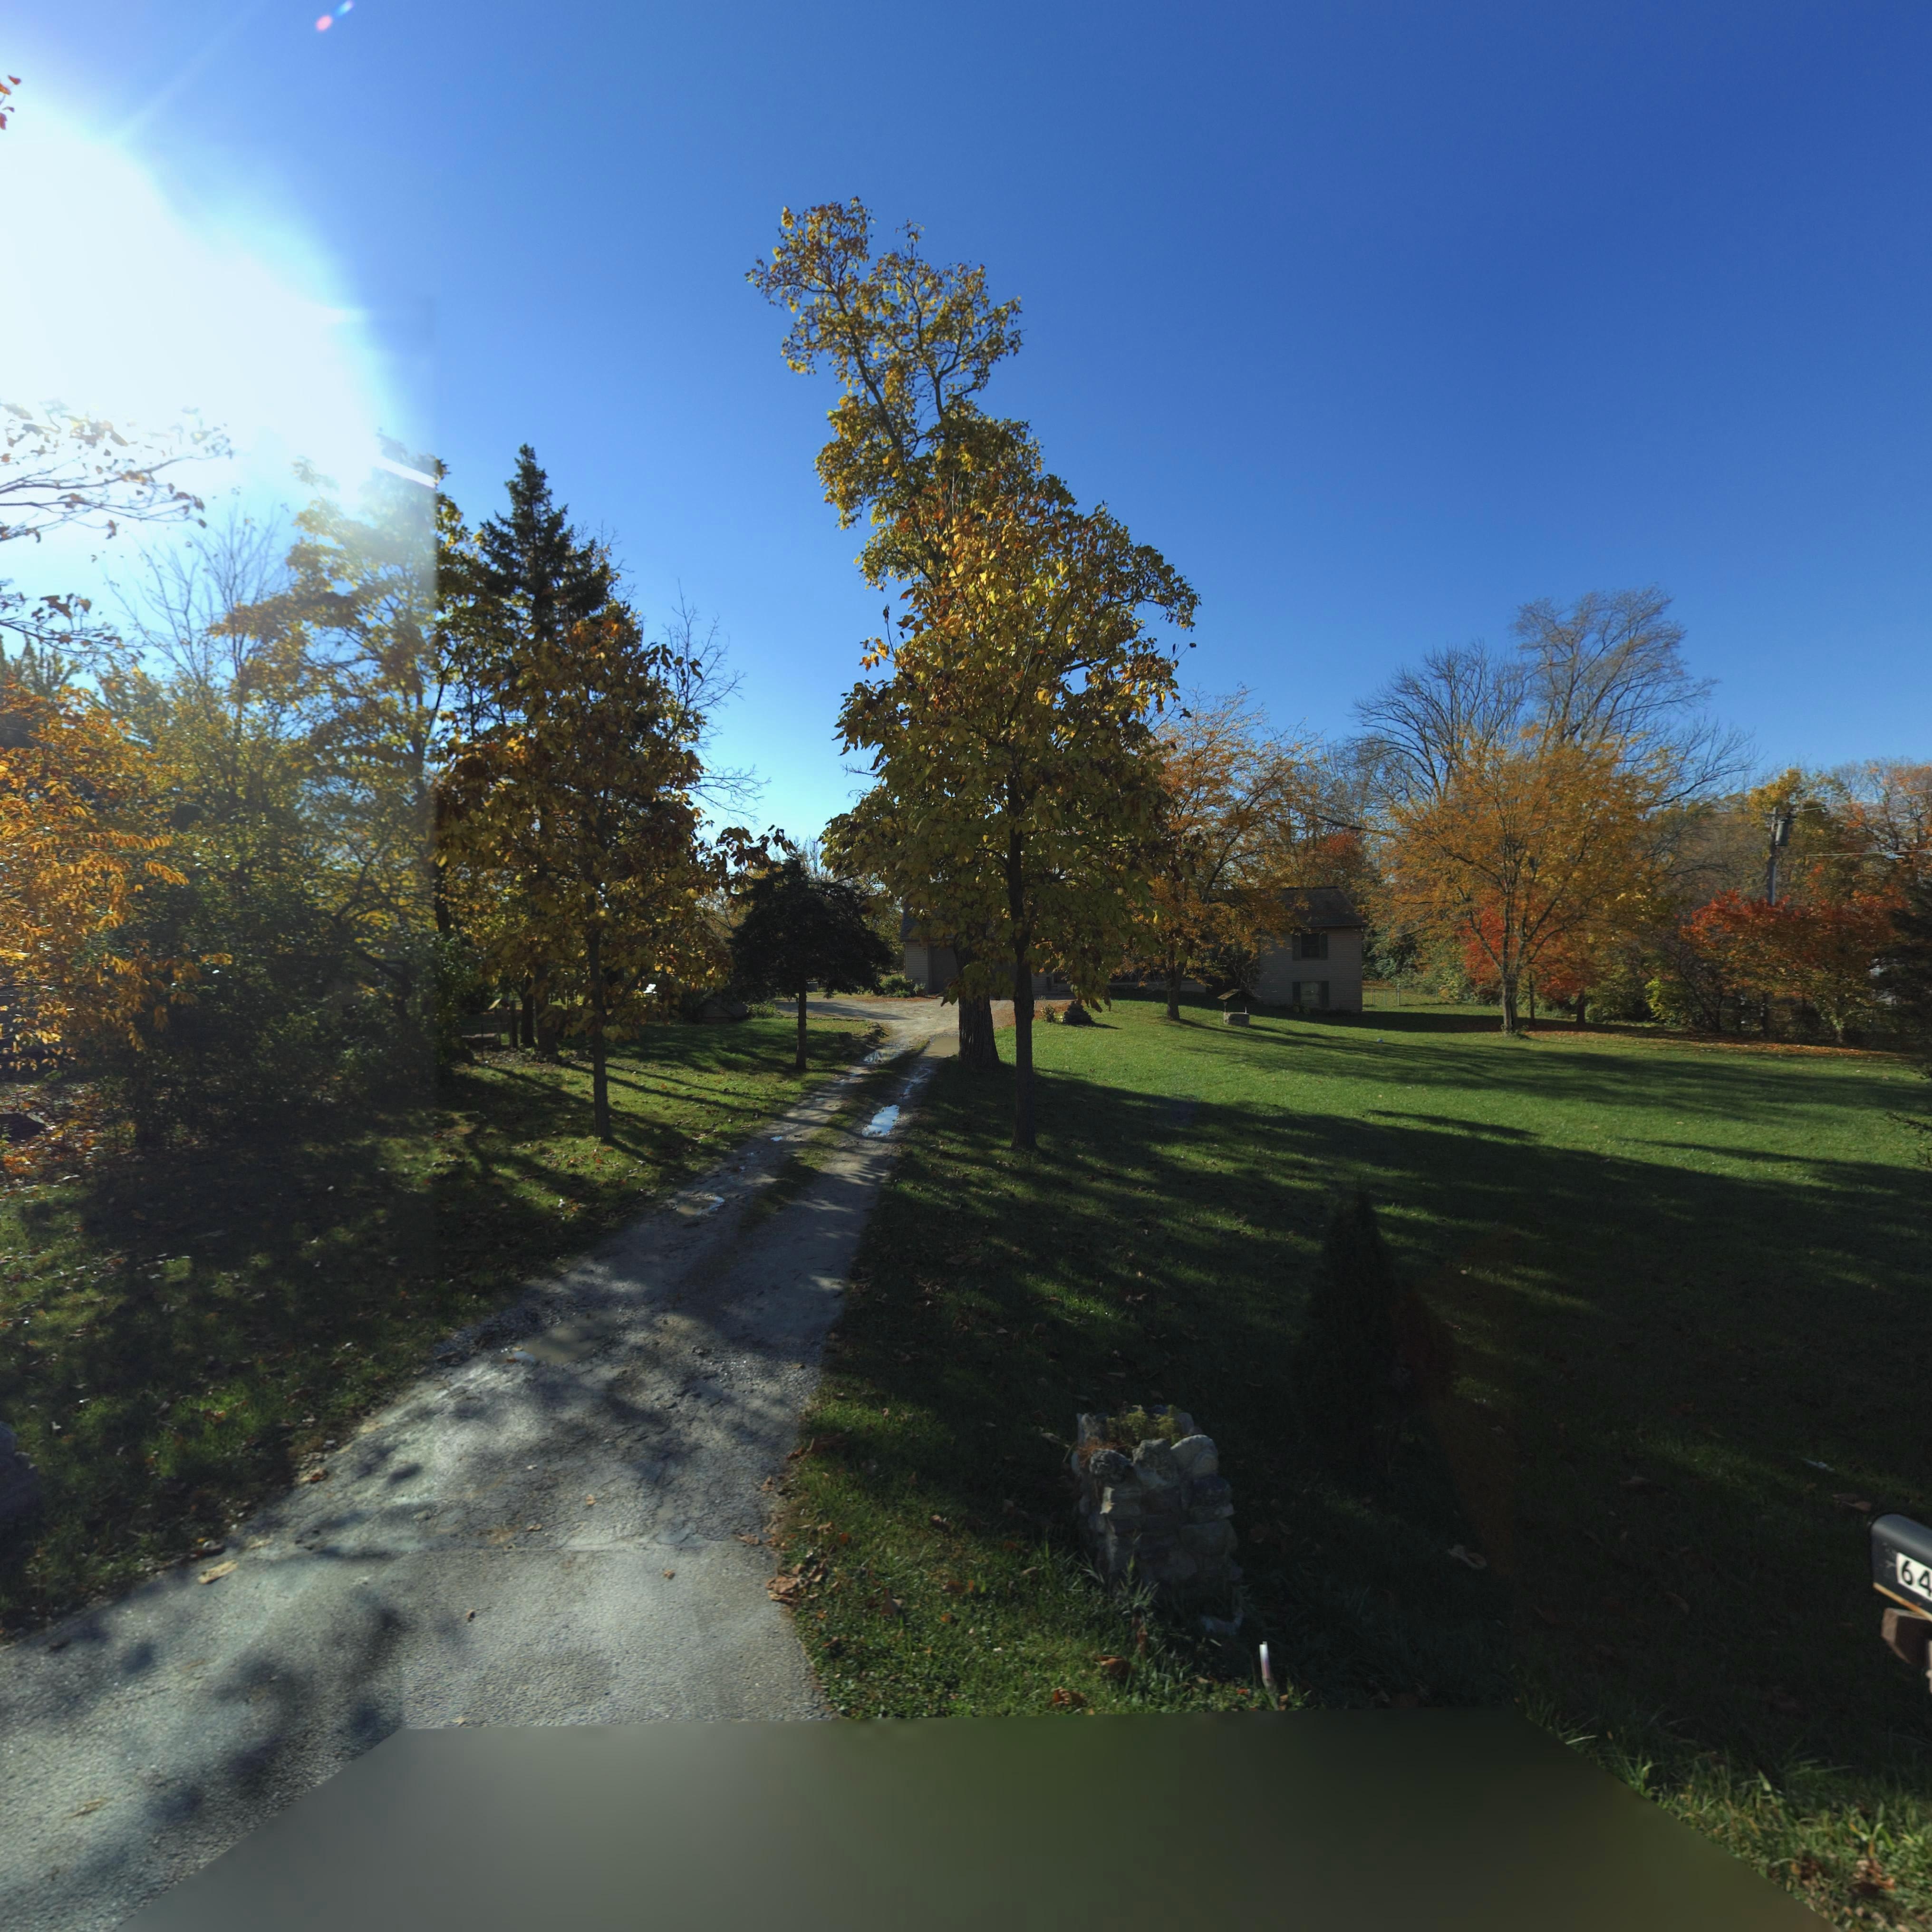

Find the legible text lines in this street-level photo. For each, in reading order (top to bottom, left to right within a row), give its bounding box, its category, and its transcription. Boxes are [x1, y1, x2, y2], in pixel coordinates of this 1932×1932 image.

[1900, 1558, 1932, 1599] StreetNumber: 64